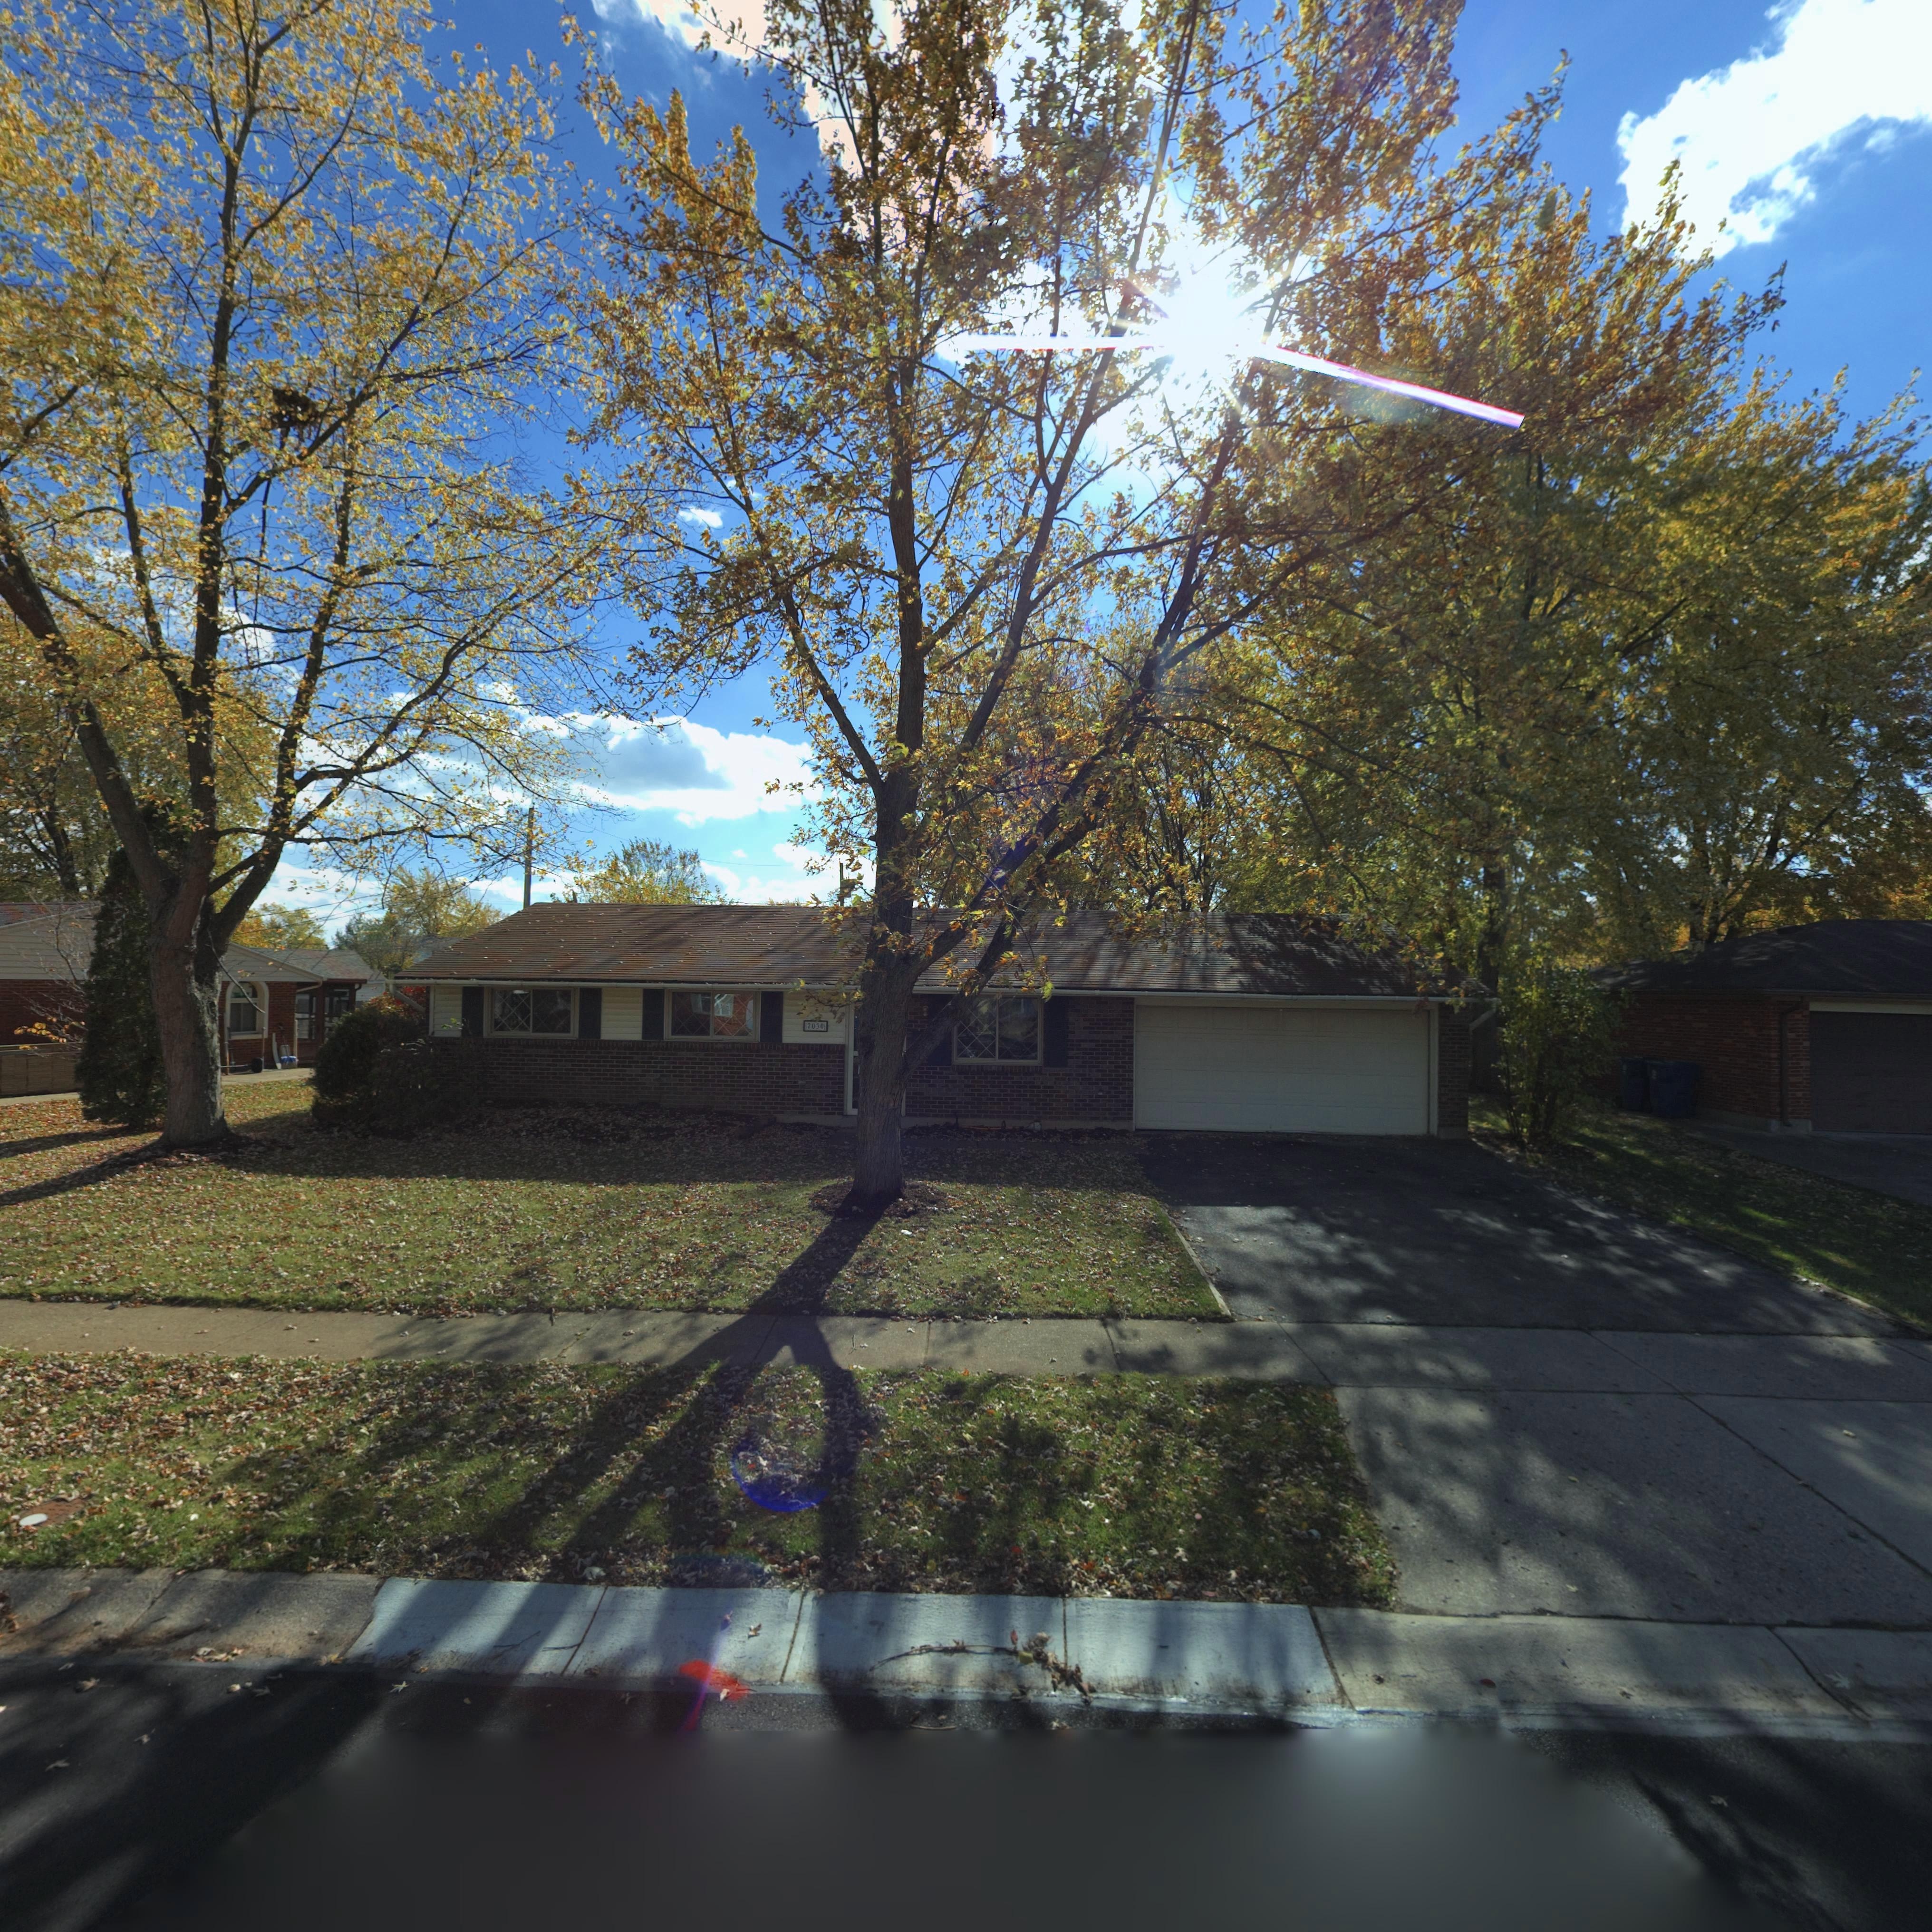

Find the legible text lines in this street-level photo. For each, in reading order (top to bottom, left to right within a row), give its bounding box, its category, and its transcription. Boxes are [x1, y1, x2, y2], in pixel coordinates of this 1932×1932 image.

[806, 1022, 825, 1031] StreetNumber: 7030